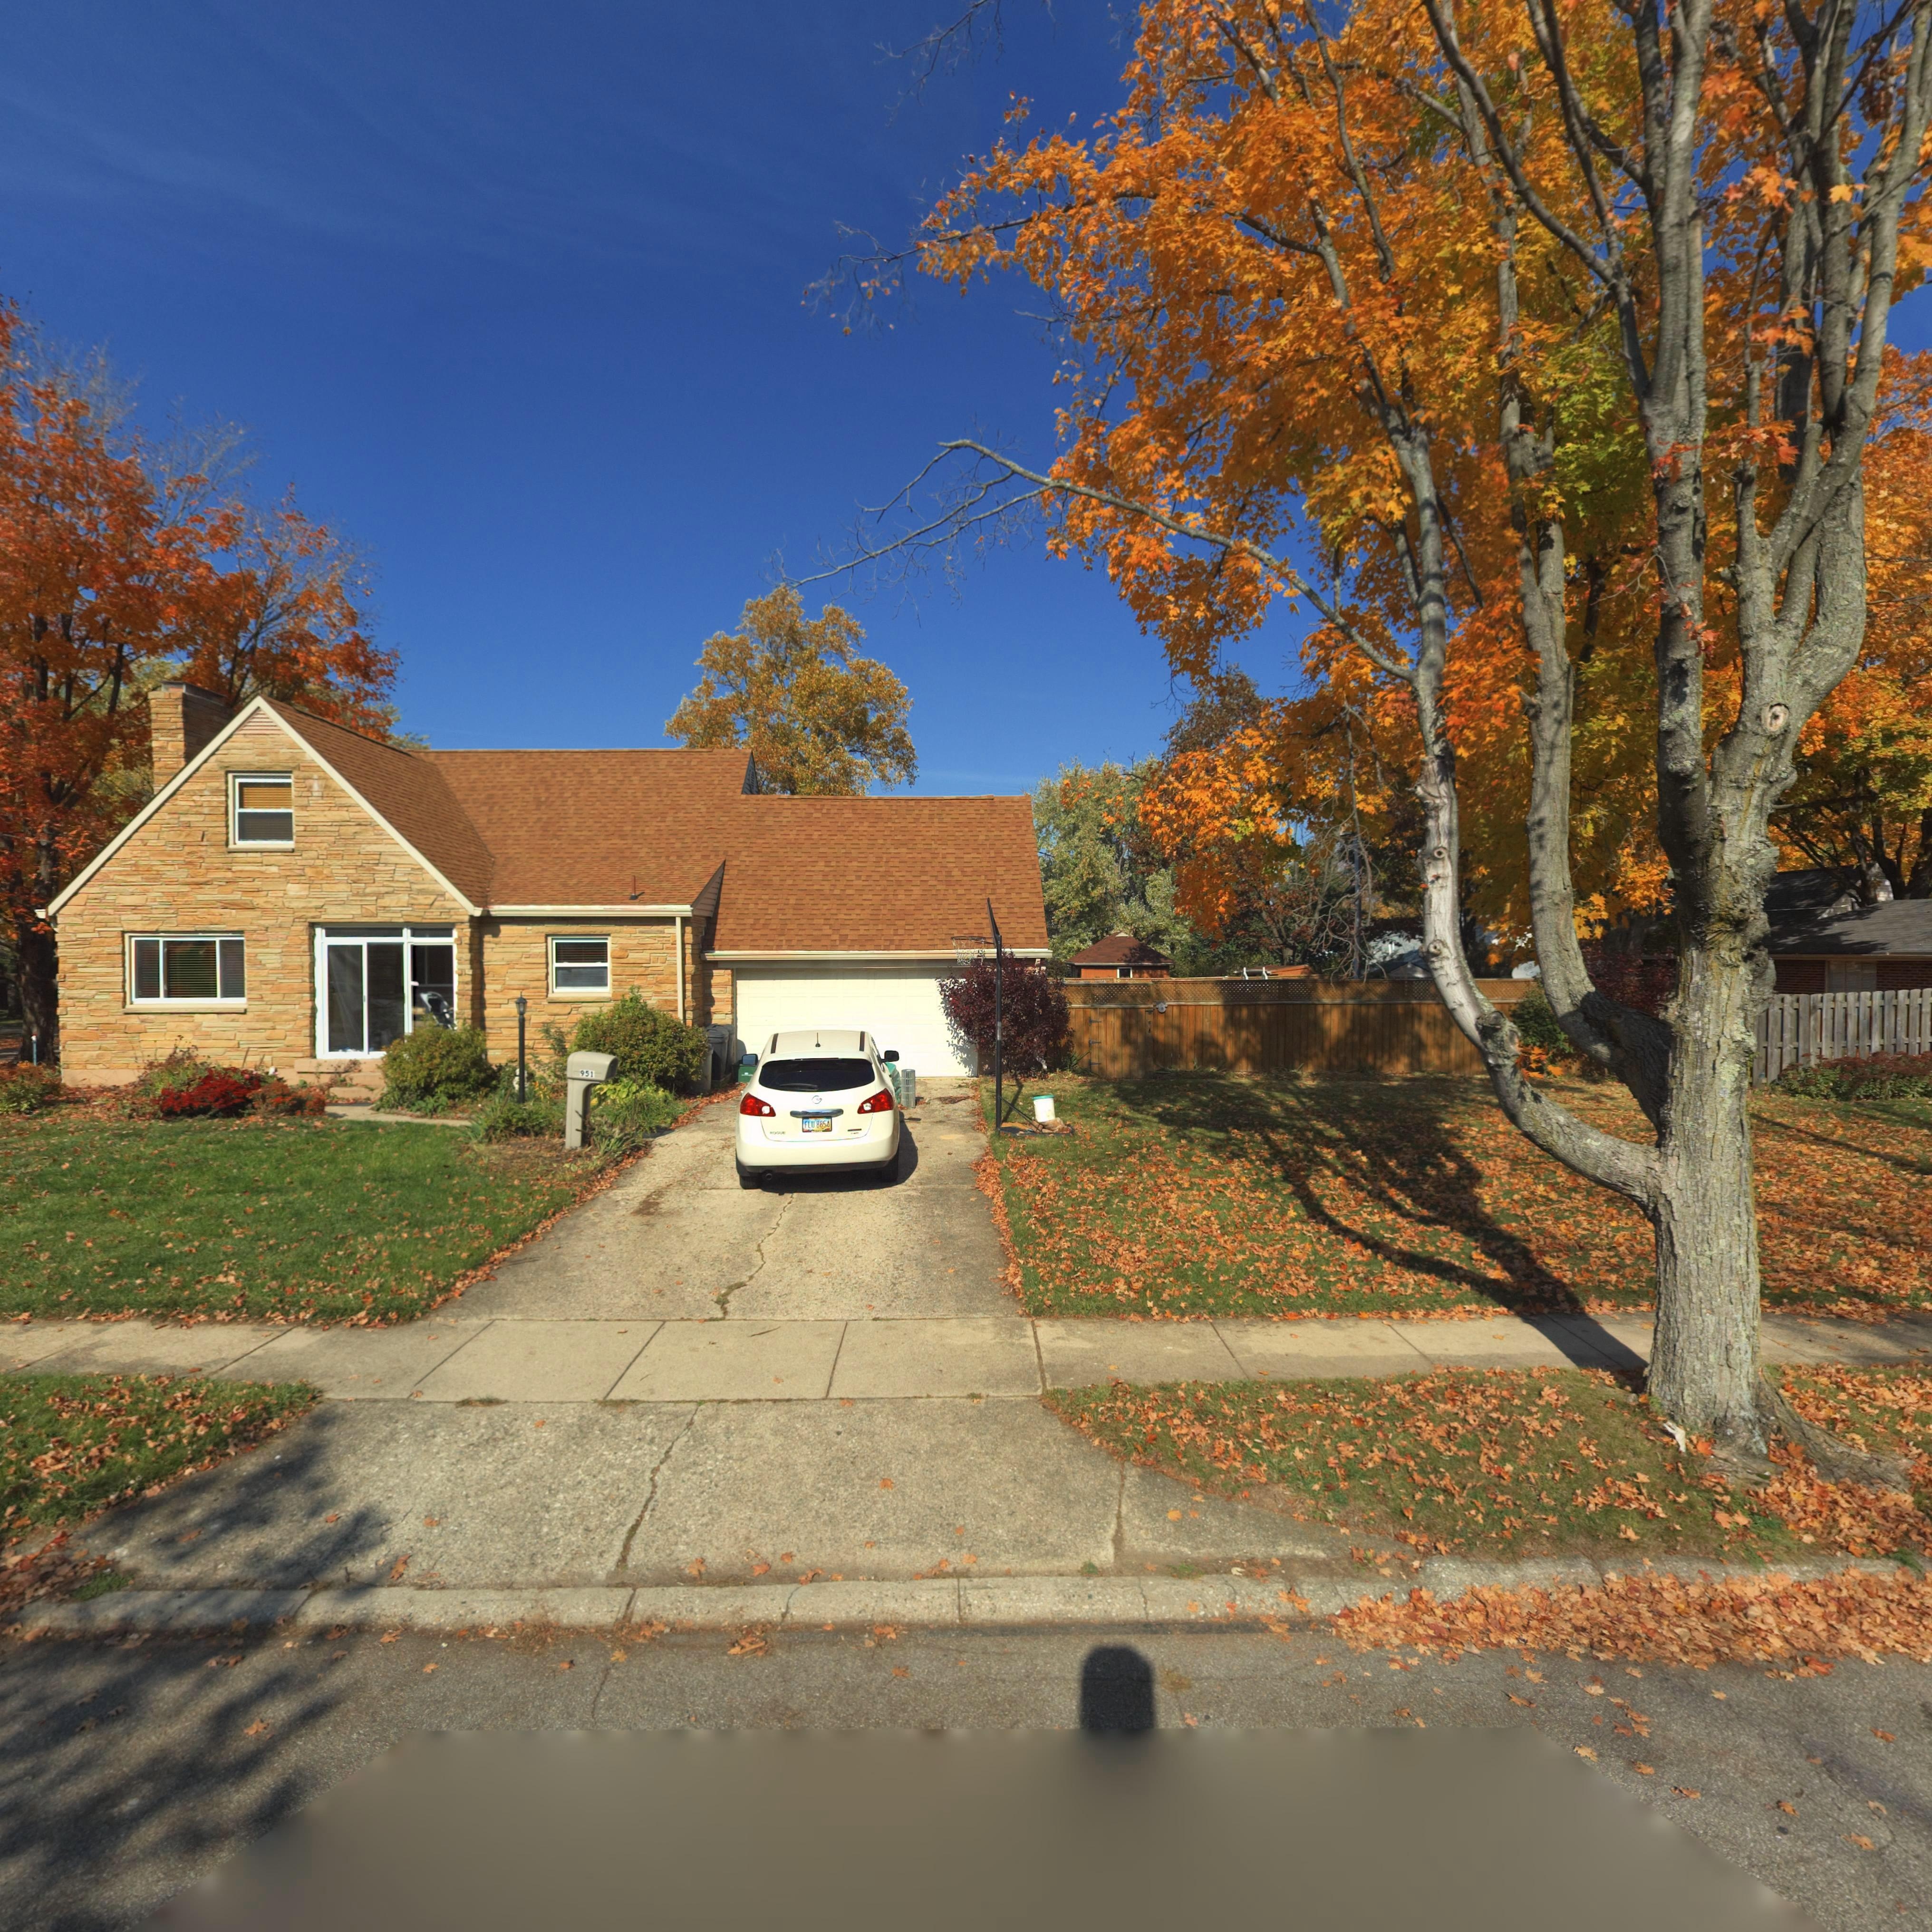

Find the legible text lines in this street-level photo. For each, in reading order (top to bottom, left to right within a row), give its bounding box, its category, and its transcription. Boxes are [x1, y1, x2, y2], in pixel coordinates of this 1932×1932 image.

[579, 1068, 595, 1080] None: 951
[802, 1119, 832, 1130] None: FLU 8854